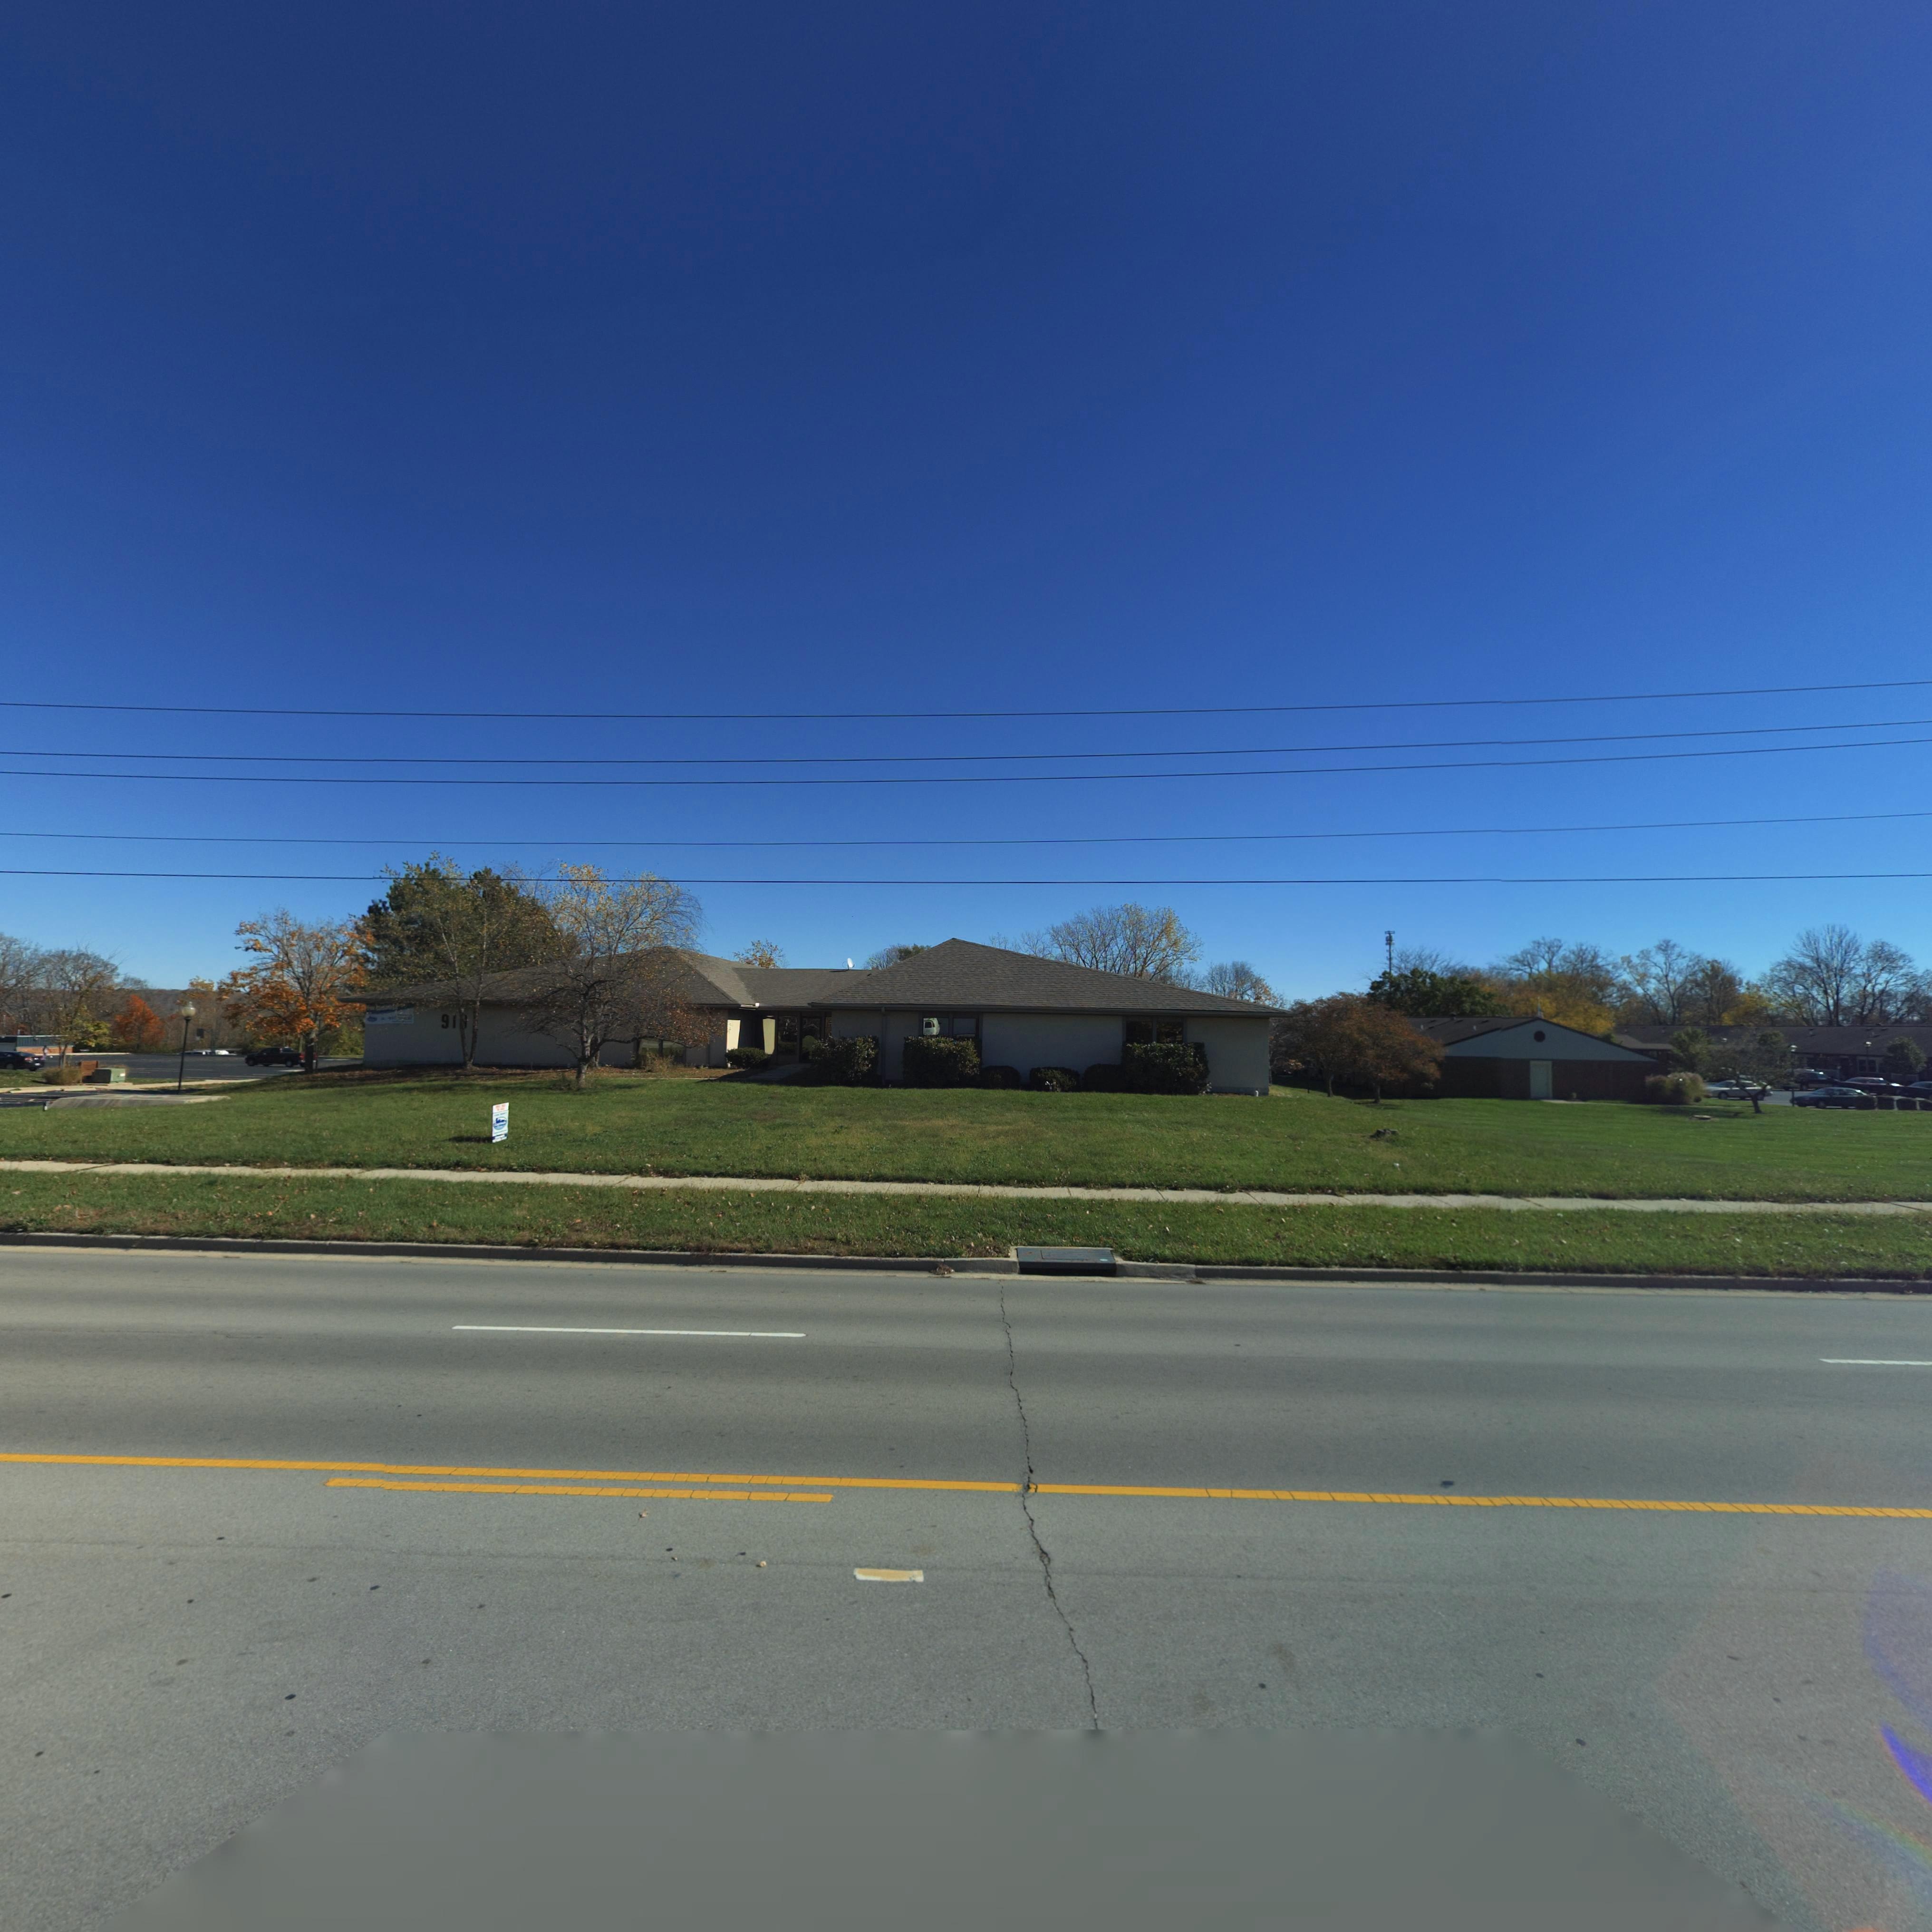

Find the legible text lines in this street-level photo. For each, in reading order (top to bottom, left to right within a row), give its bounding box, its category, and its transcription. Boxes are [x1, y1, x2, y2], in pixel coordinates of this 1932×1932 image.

[440, 1013, 457, 1030] StreetNumber: 91